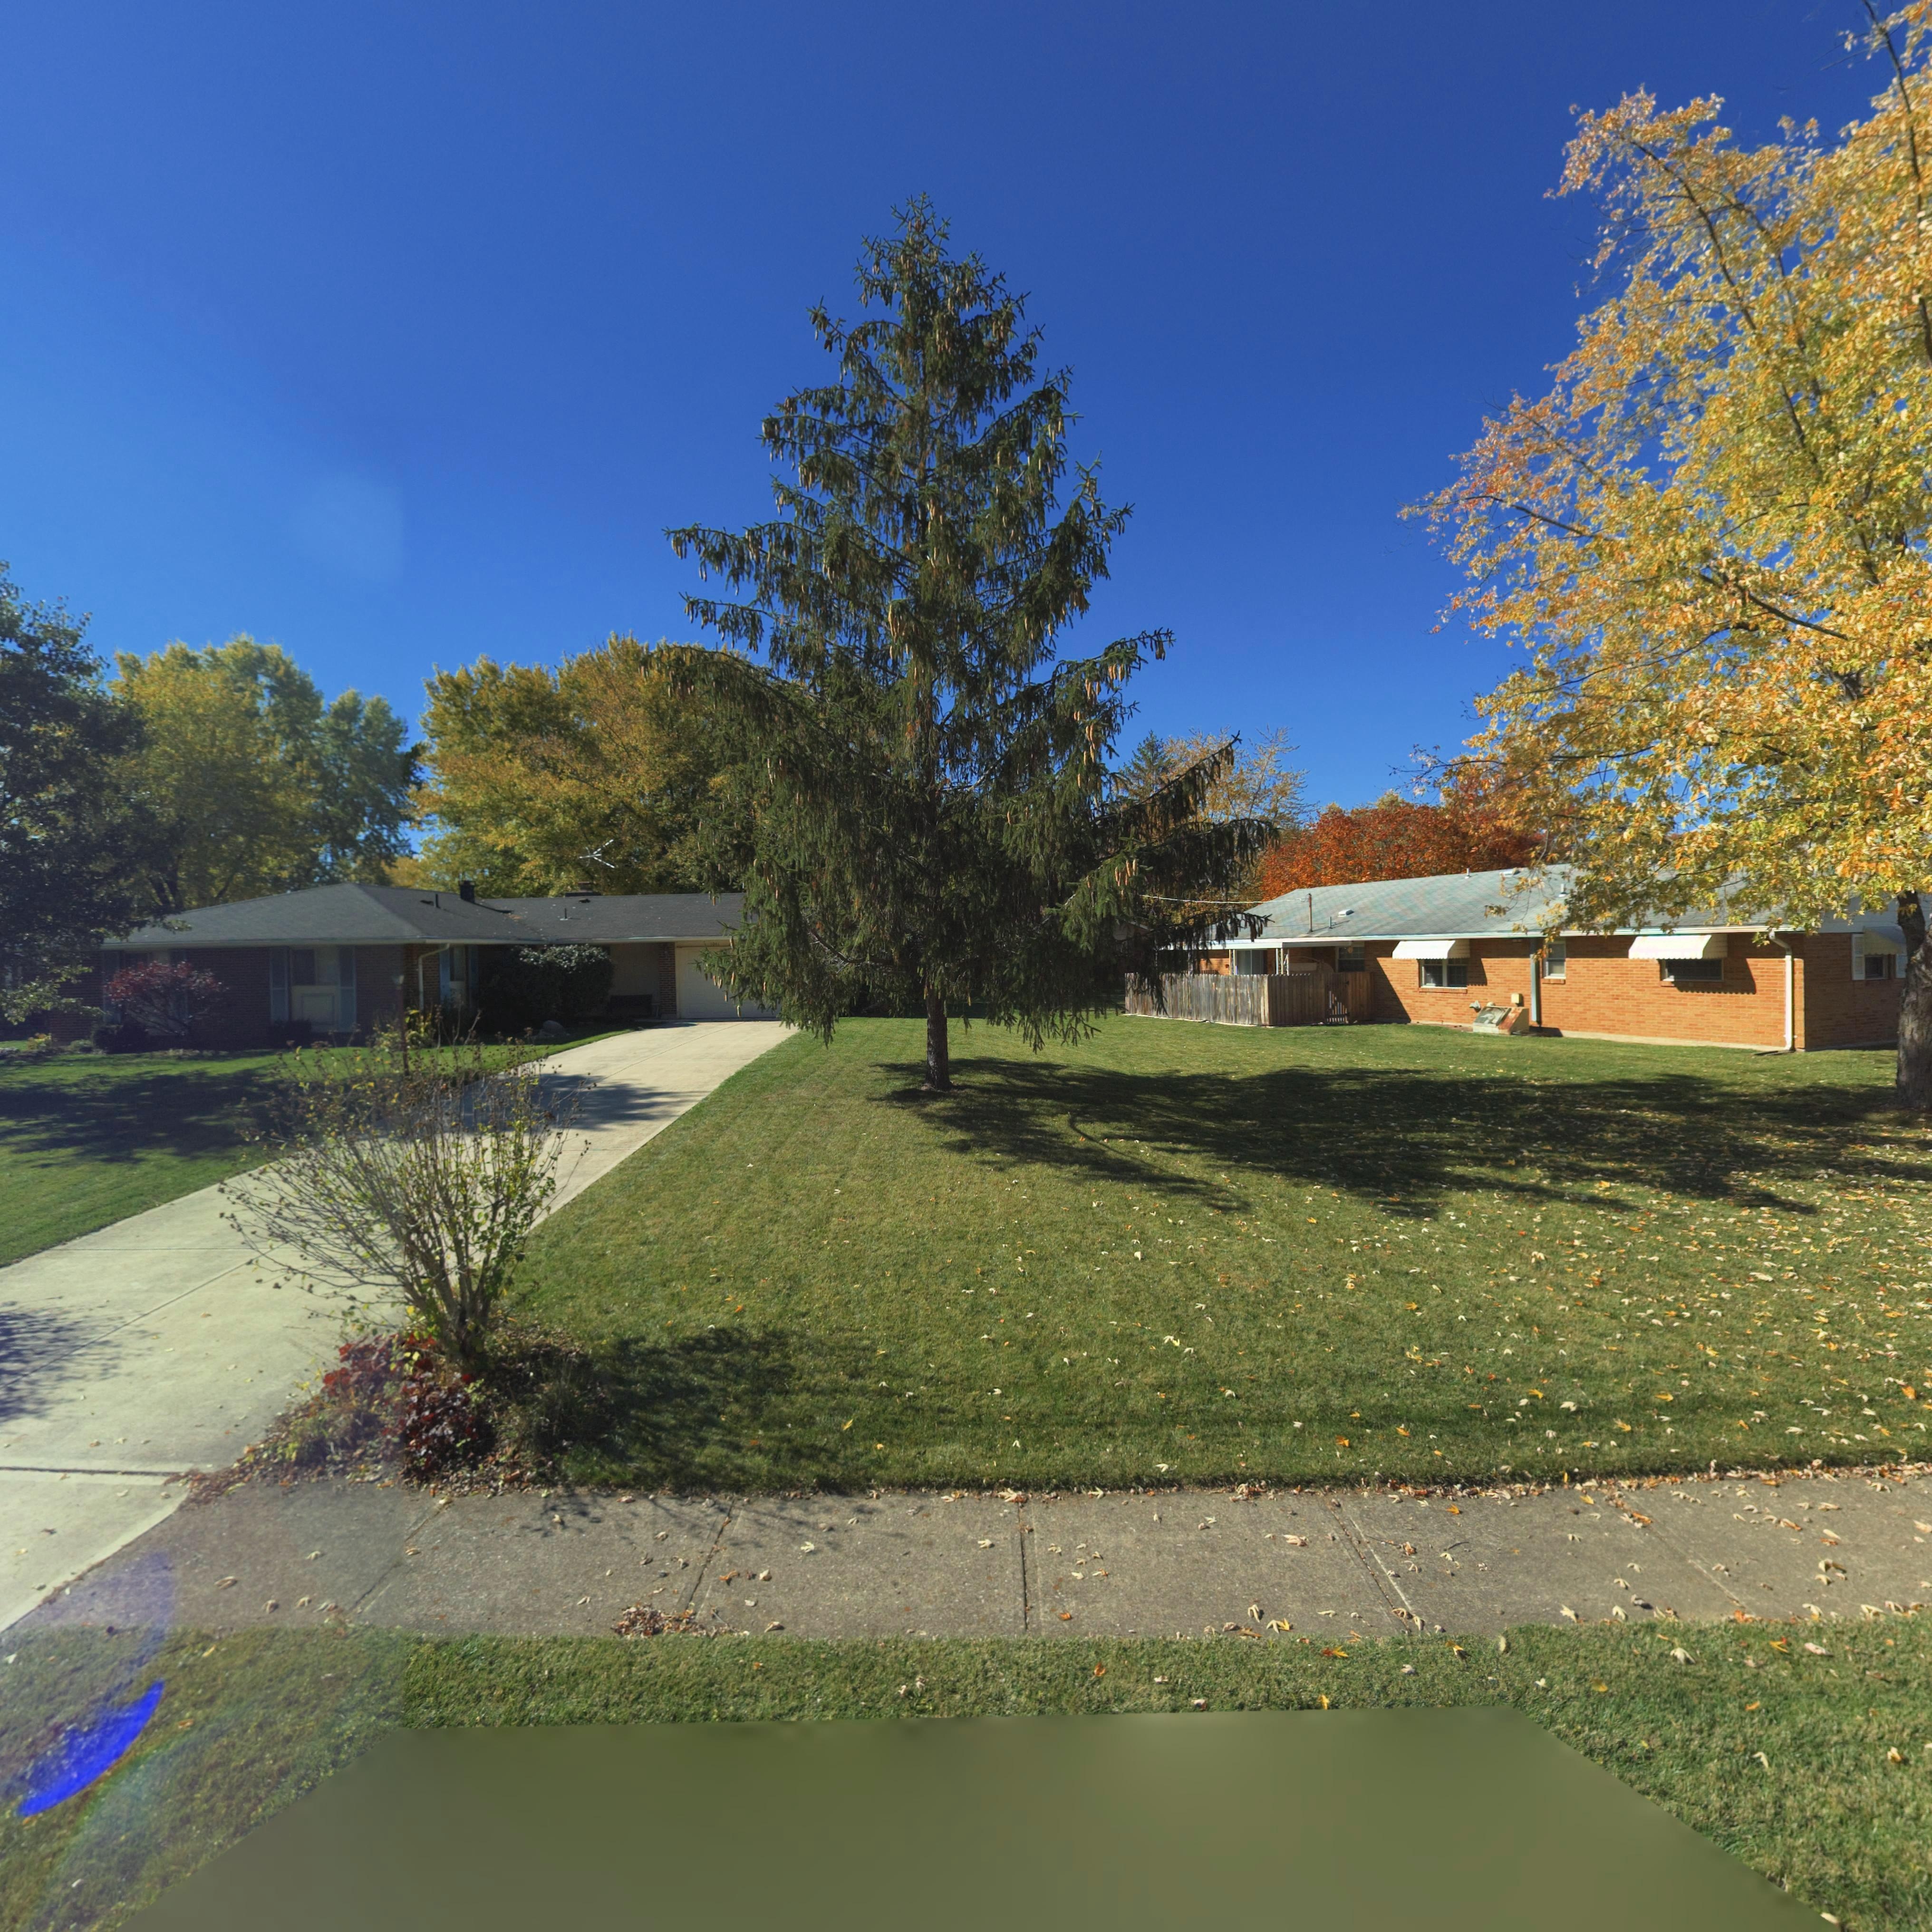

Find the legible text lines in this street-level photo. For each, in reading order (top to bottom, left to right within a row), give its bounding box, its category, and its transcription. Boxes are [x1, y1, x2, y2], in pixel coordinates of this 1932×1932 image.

[710, 941, 720, 947] StreetNumber: *0**